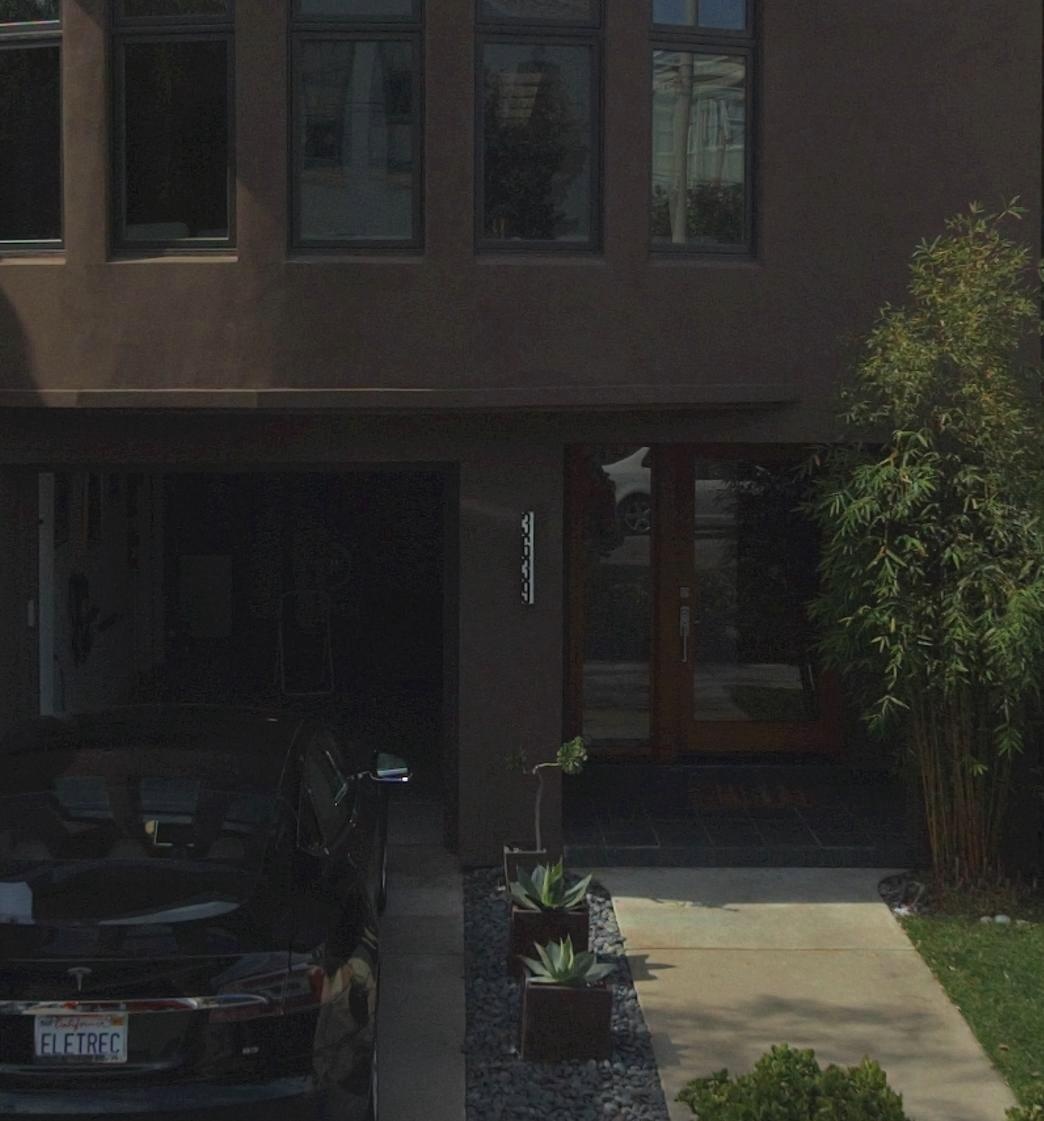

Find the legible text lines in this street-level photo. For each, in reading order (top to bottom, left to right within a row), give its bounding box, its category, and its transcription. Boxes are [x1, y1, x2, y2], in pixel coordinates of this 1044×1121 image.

[519, 509, 533, 606] StreetNumber: 3639
[37, 1029, 122, 1056] None: ELETREC